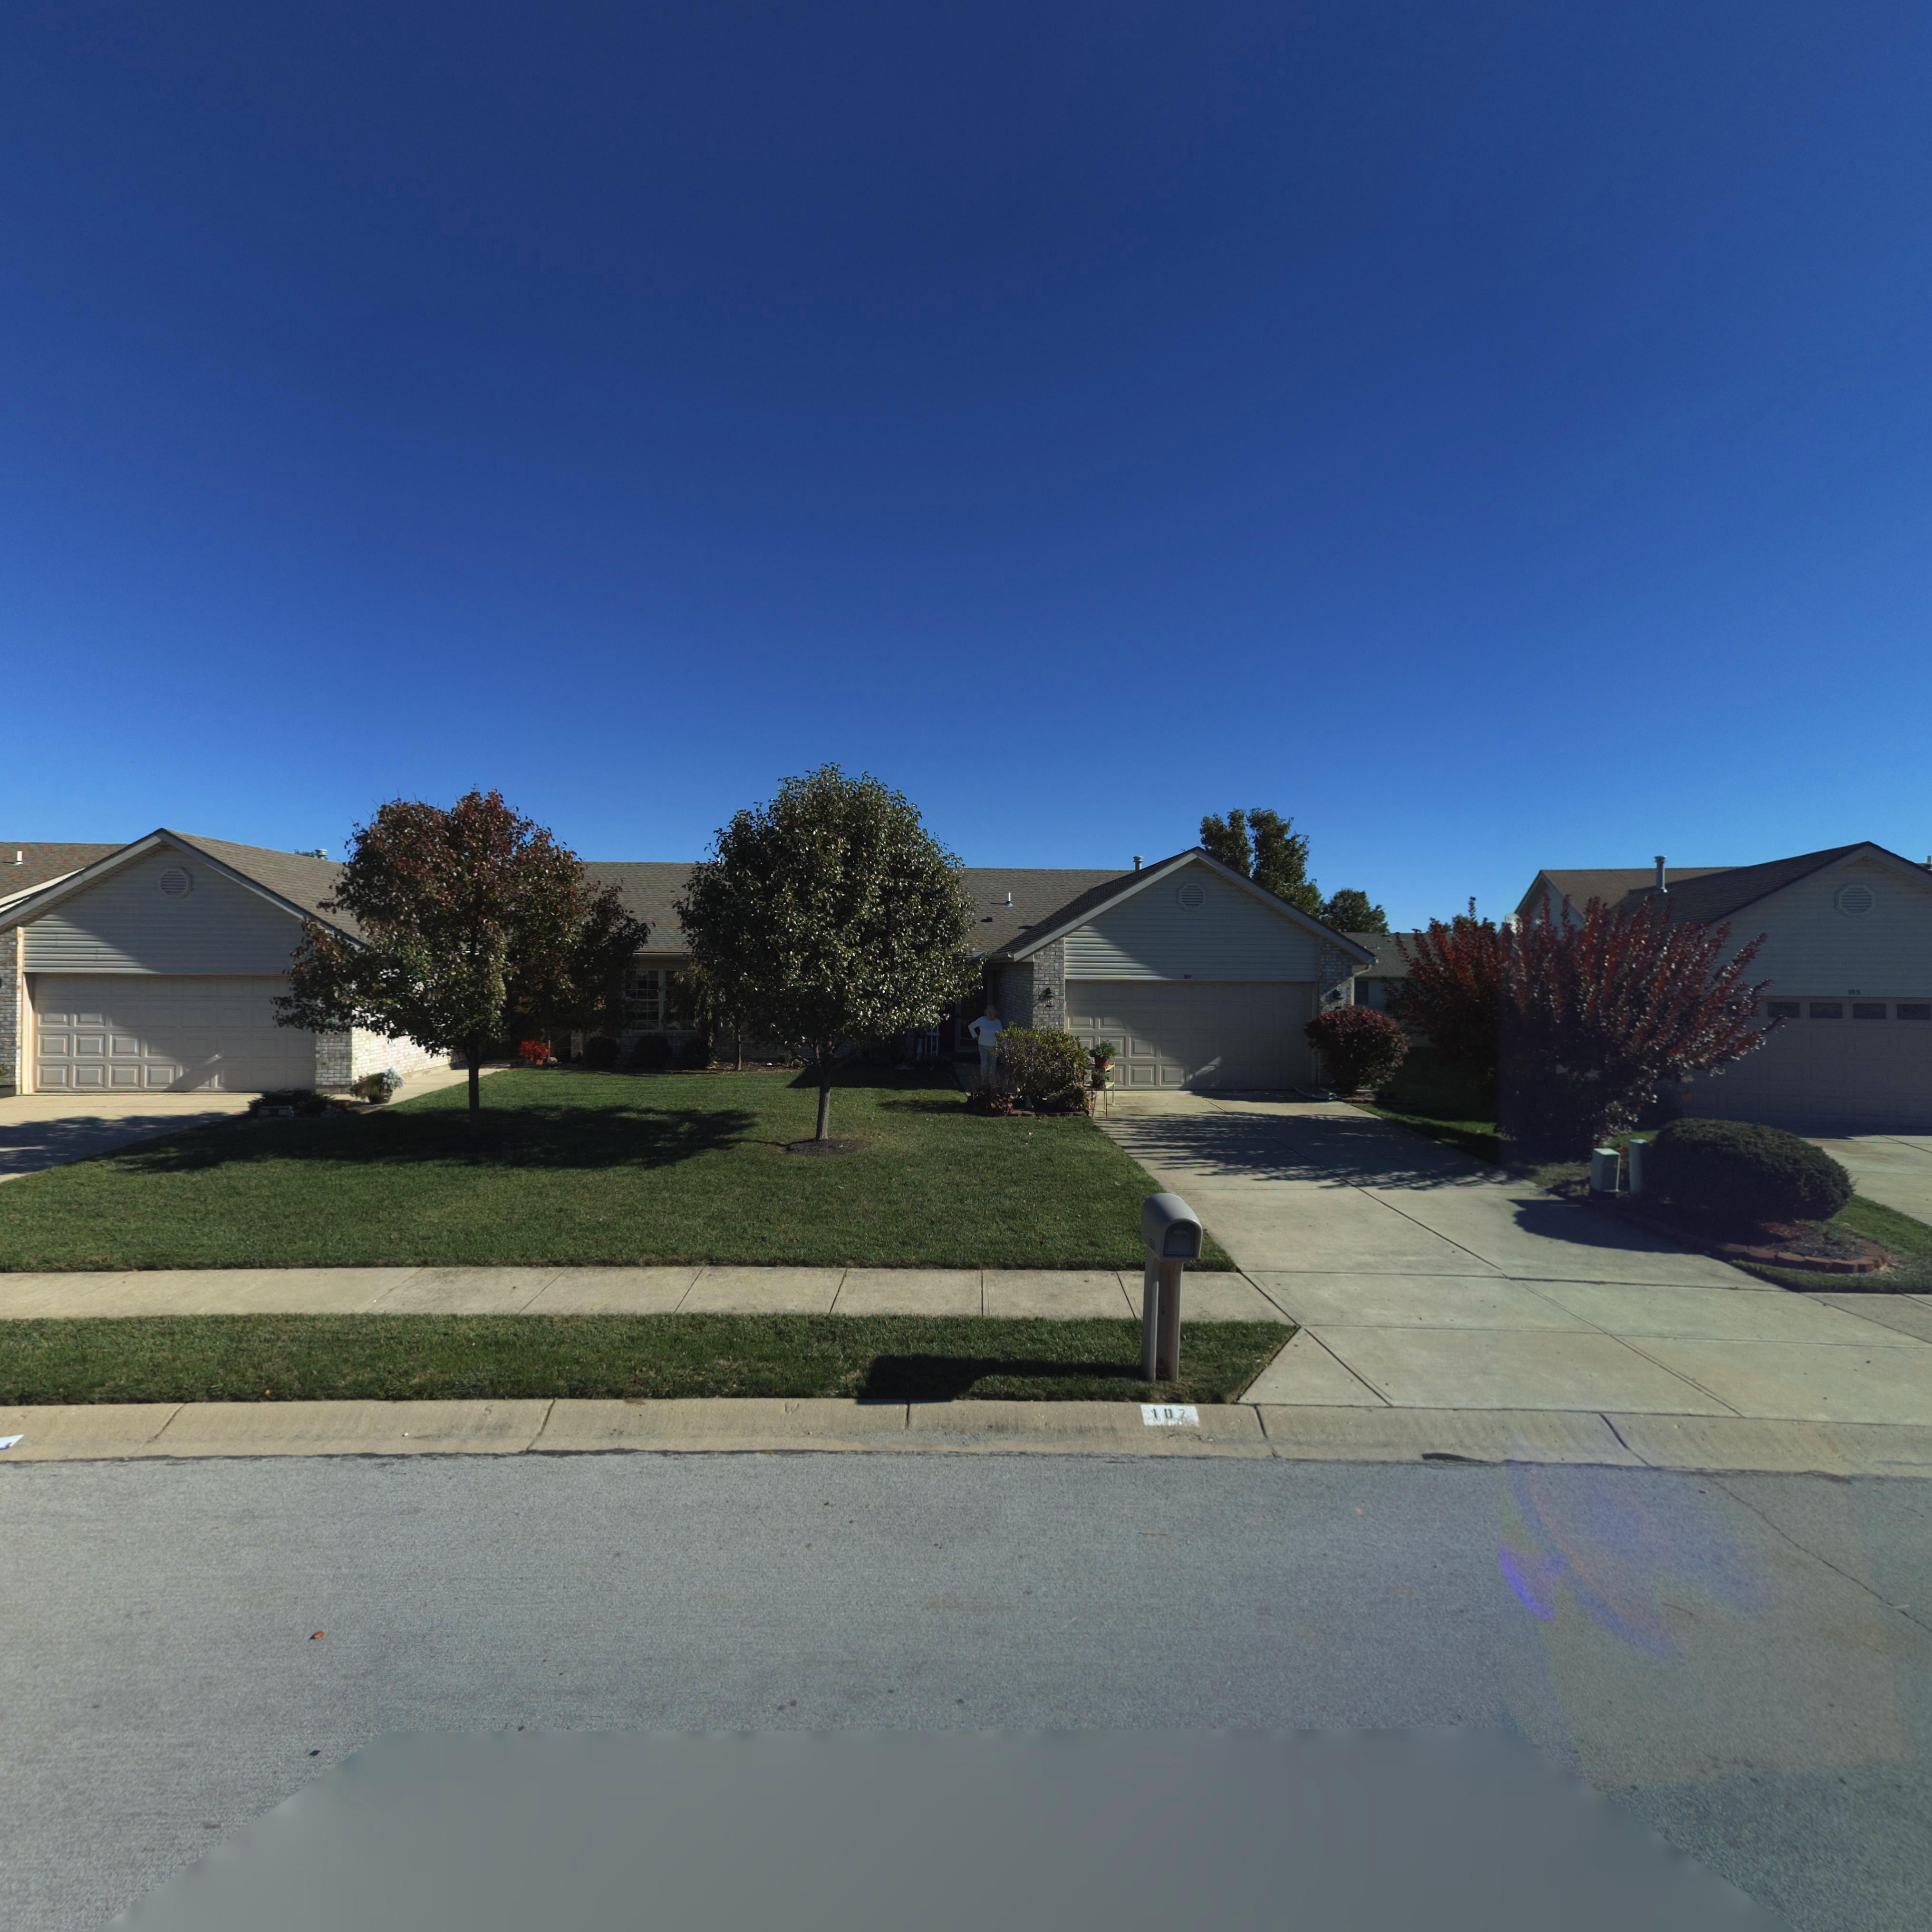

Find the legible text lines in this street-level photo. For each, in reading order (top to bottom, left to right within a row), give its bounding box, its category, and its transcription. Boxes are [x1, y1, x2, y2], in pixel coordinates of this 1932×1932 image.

[1183, 974, 1192, 979] StreetNumber: 10*
[1847, 989, 1862, 996] StreetNumber: 105
[1150, 1408, 1186, 1420] StreetNumber: 107